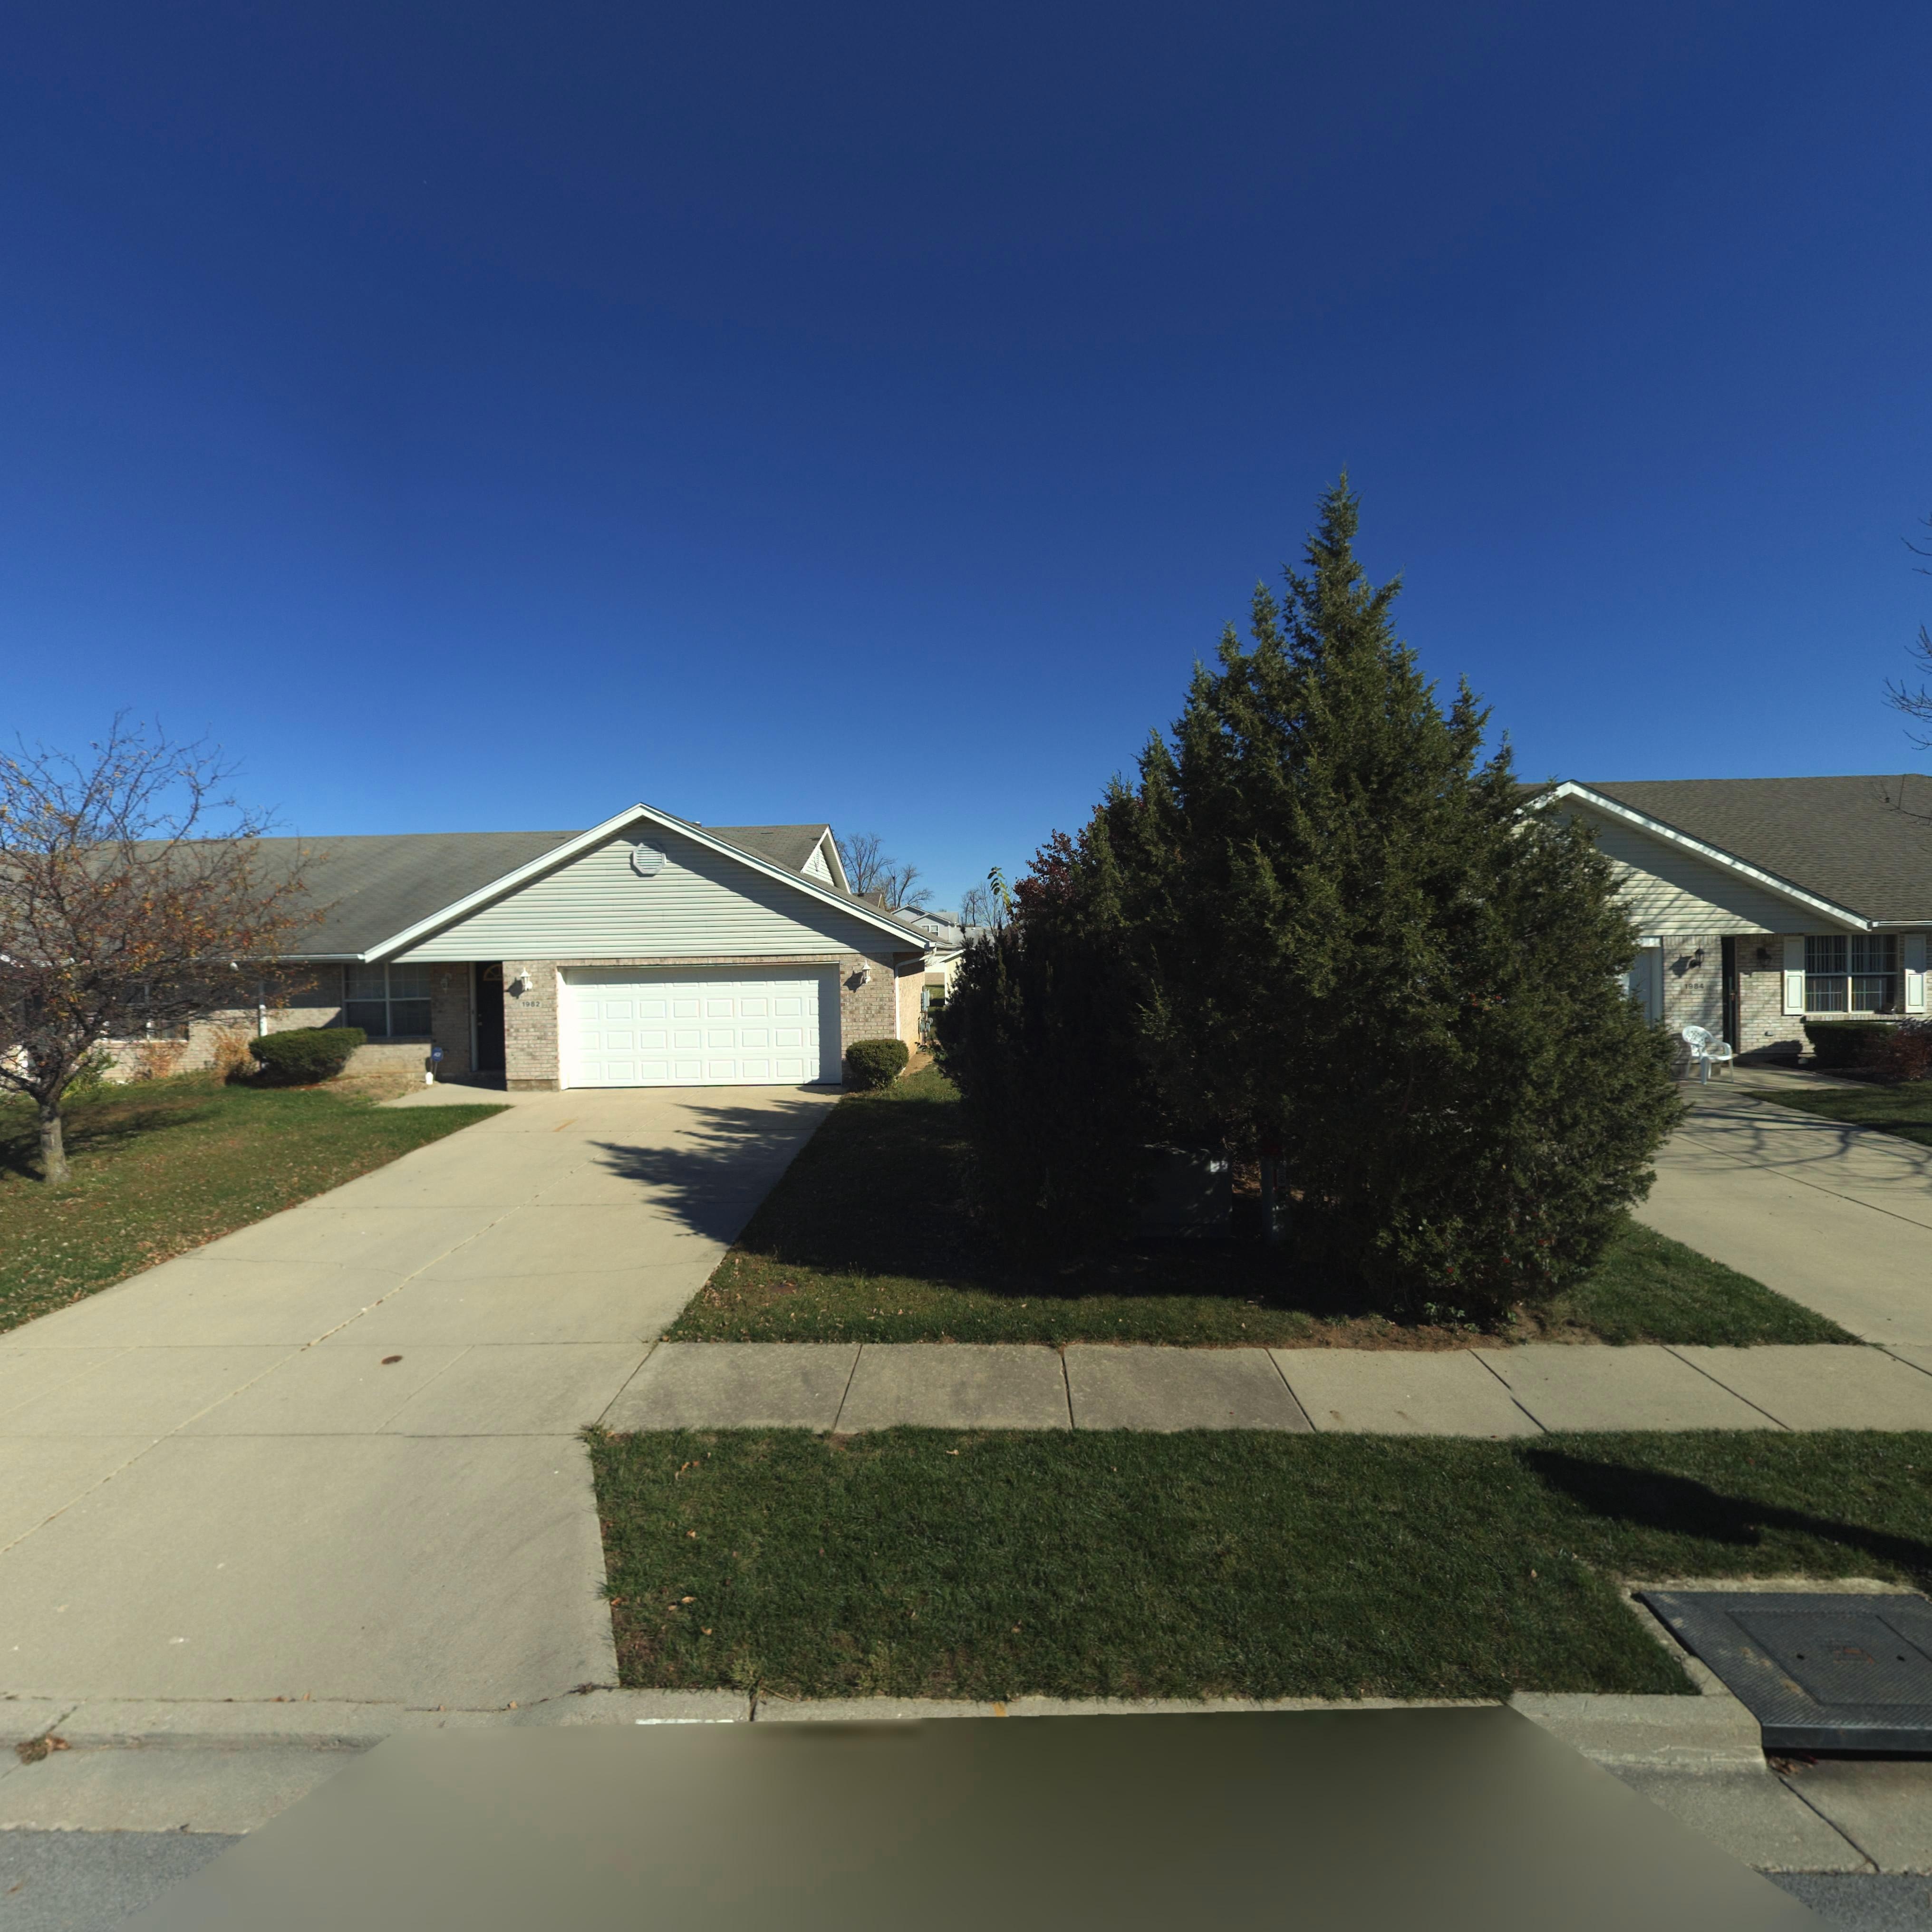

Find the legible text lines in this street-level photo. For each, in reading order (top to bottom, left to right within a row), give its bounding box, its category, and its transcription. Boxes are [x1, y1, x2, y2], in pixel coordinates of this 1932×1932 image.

[1684, 983, 1705, 990] StreetNumber: 1984
[522, 1000, 541, 1008] StreetNumber: 1982